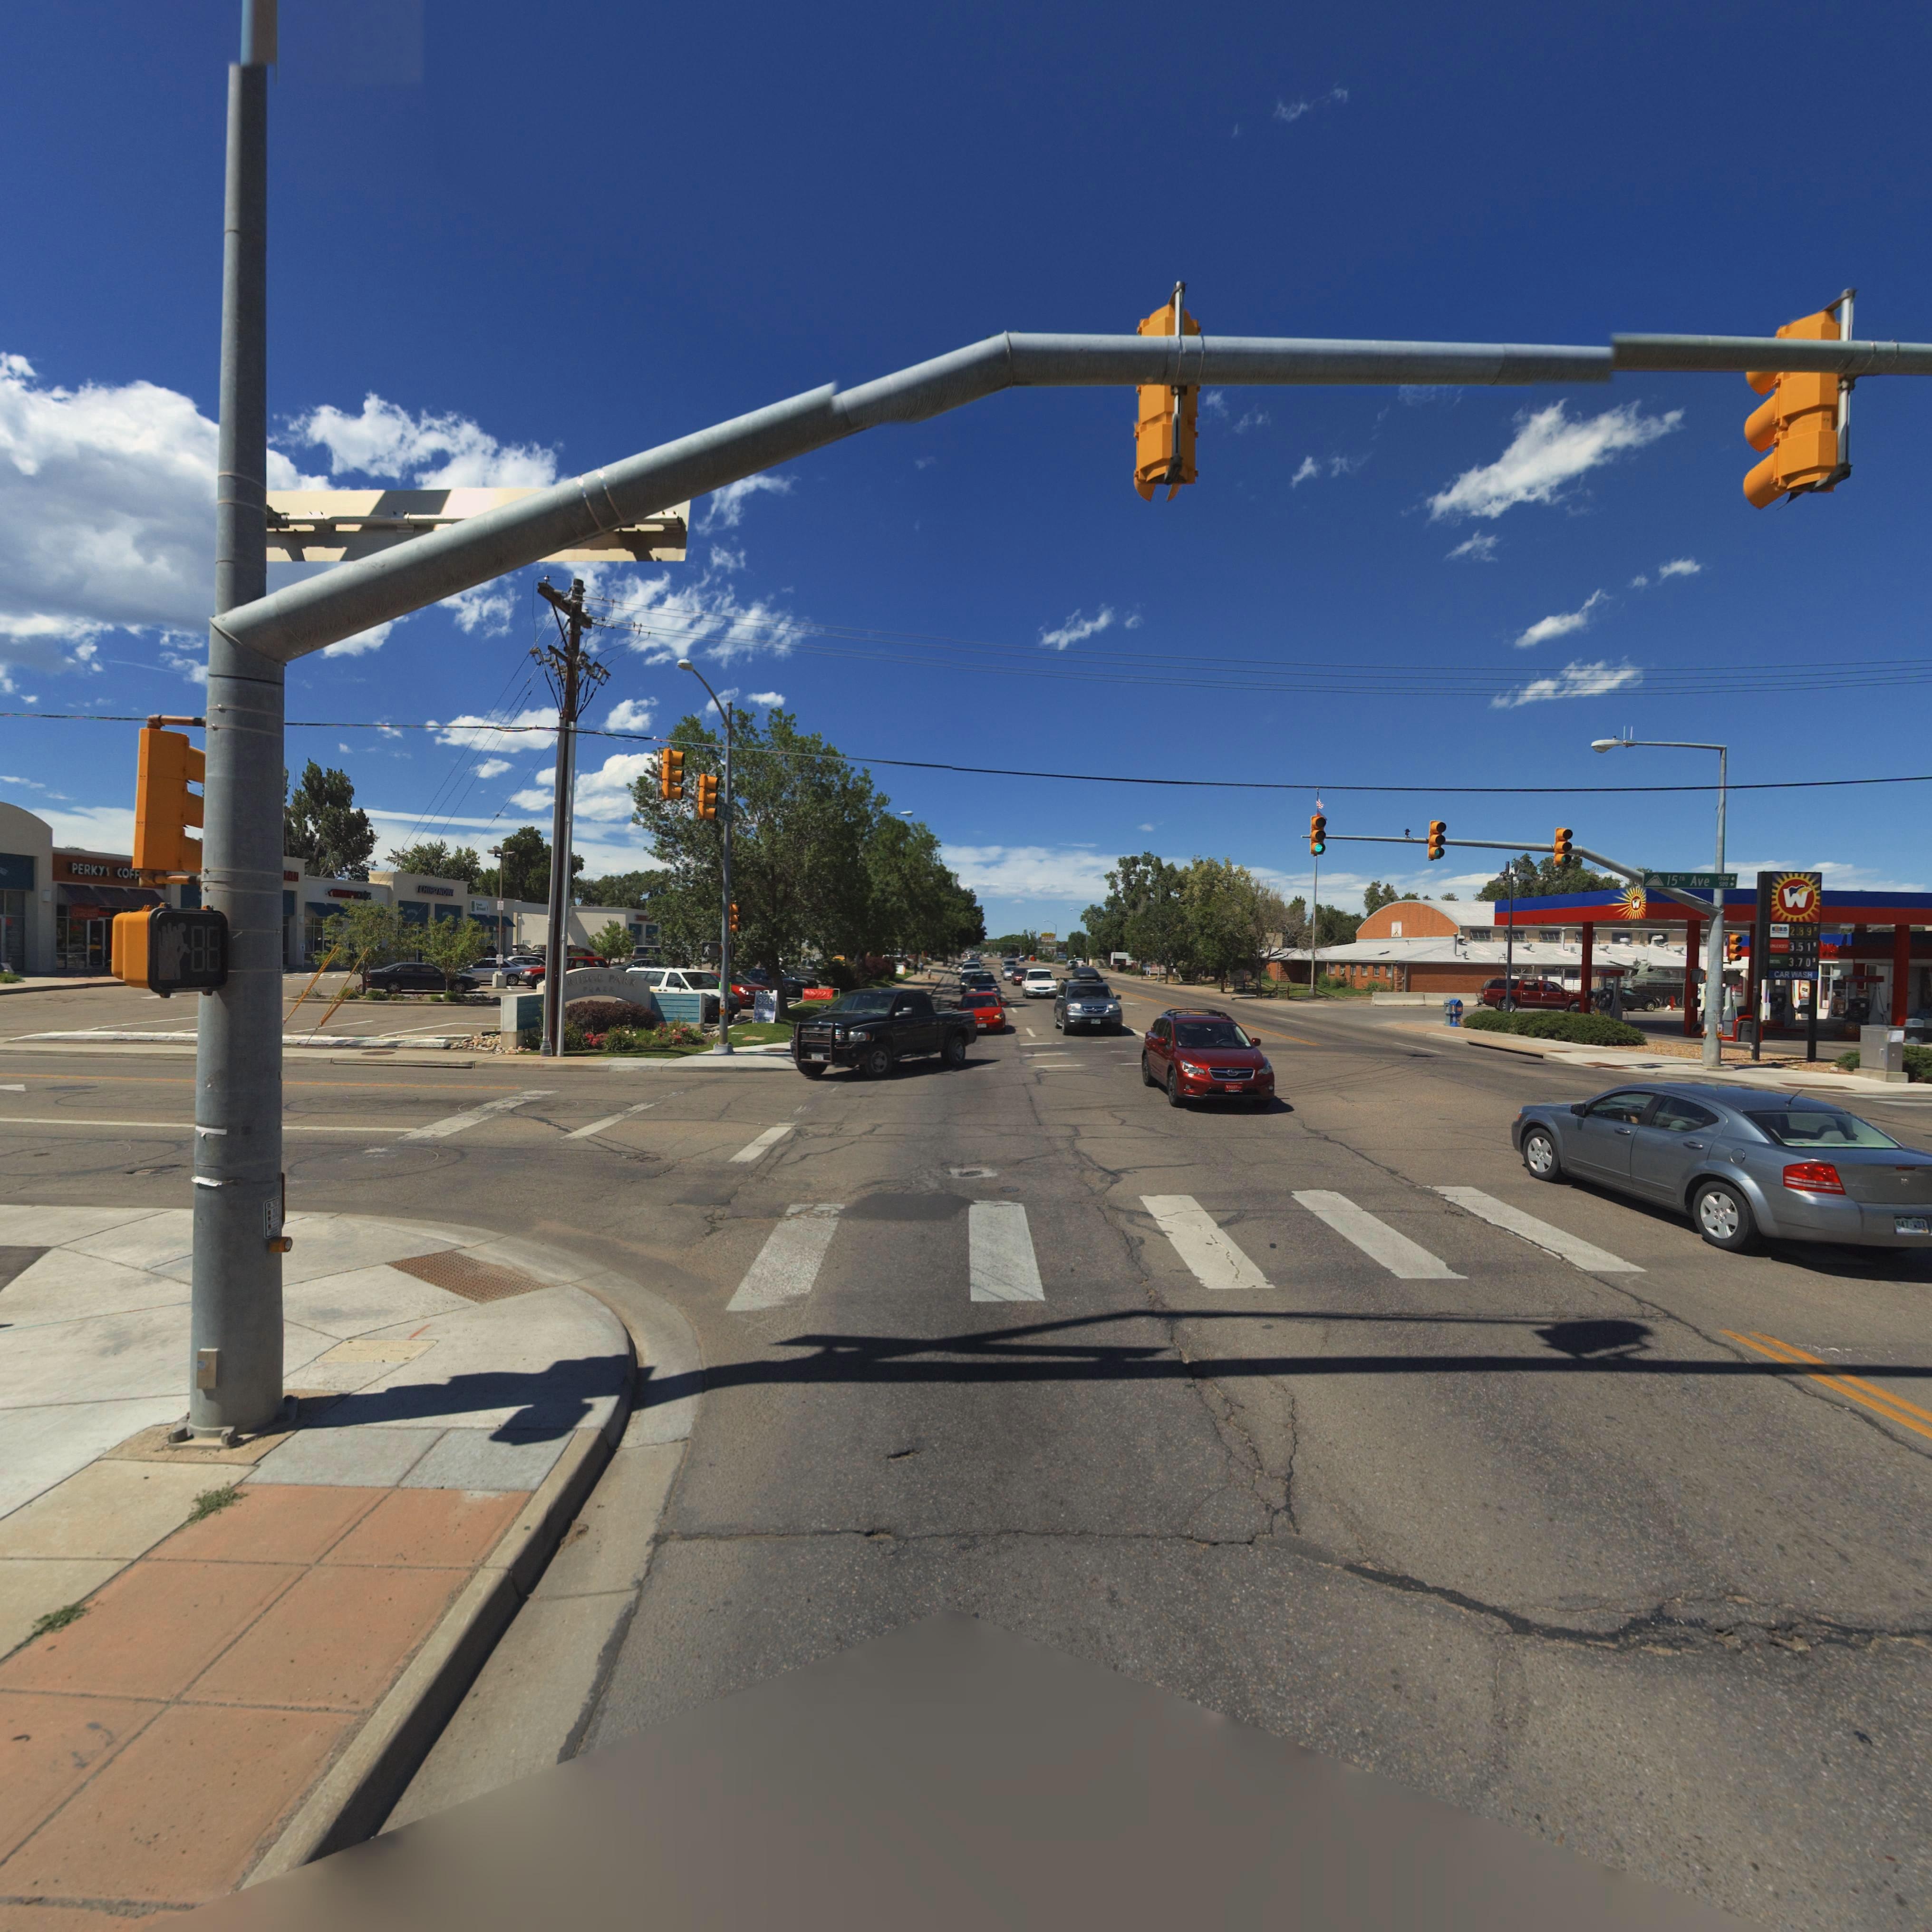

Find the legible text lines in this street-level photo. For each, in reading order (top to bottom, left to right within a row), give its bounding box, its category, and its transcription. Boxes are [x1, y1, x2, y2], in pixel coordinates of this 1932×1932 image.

[72, 863, 148, 879] BusinessName: PERKY'S COFF**
[1667, 875, 1710, 886] StreetName: 15th Ave
[1718, 875, 1729, 880] StreetNumberRange: 1500
[1719, 881, 1734, 886] StreetNumberRange: 500->
[418, 885, 454, 896] BusinessName: CHIRO NOW!
[1783, 888, 1808, 908] BusinessName: W